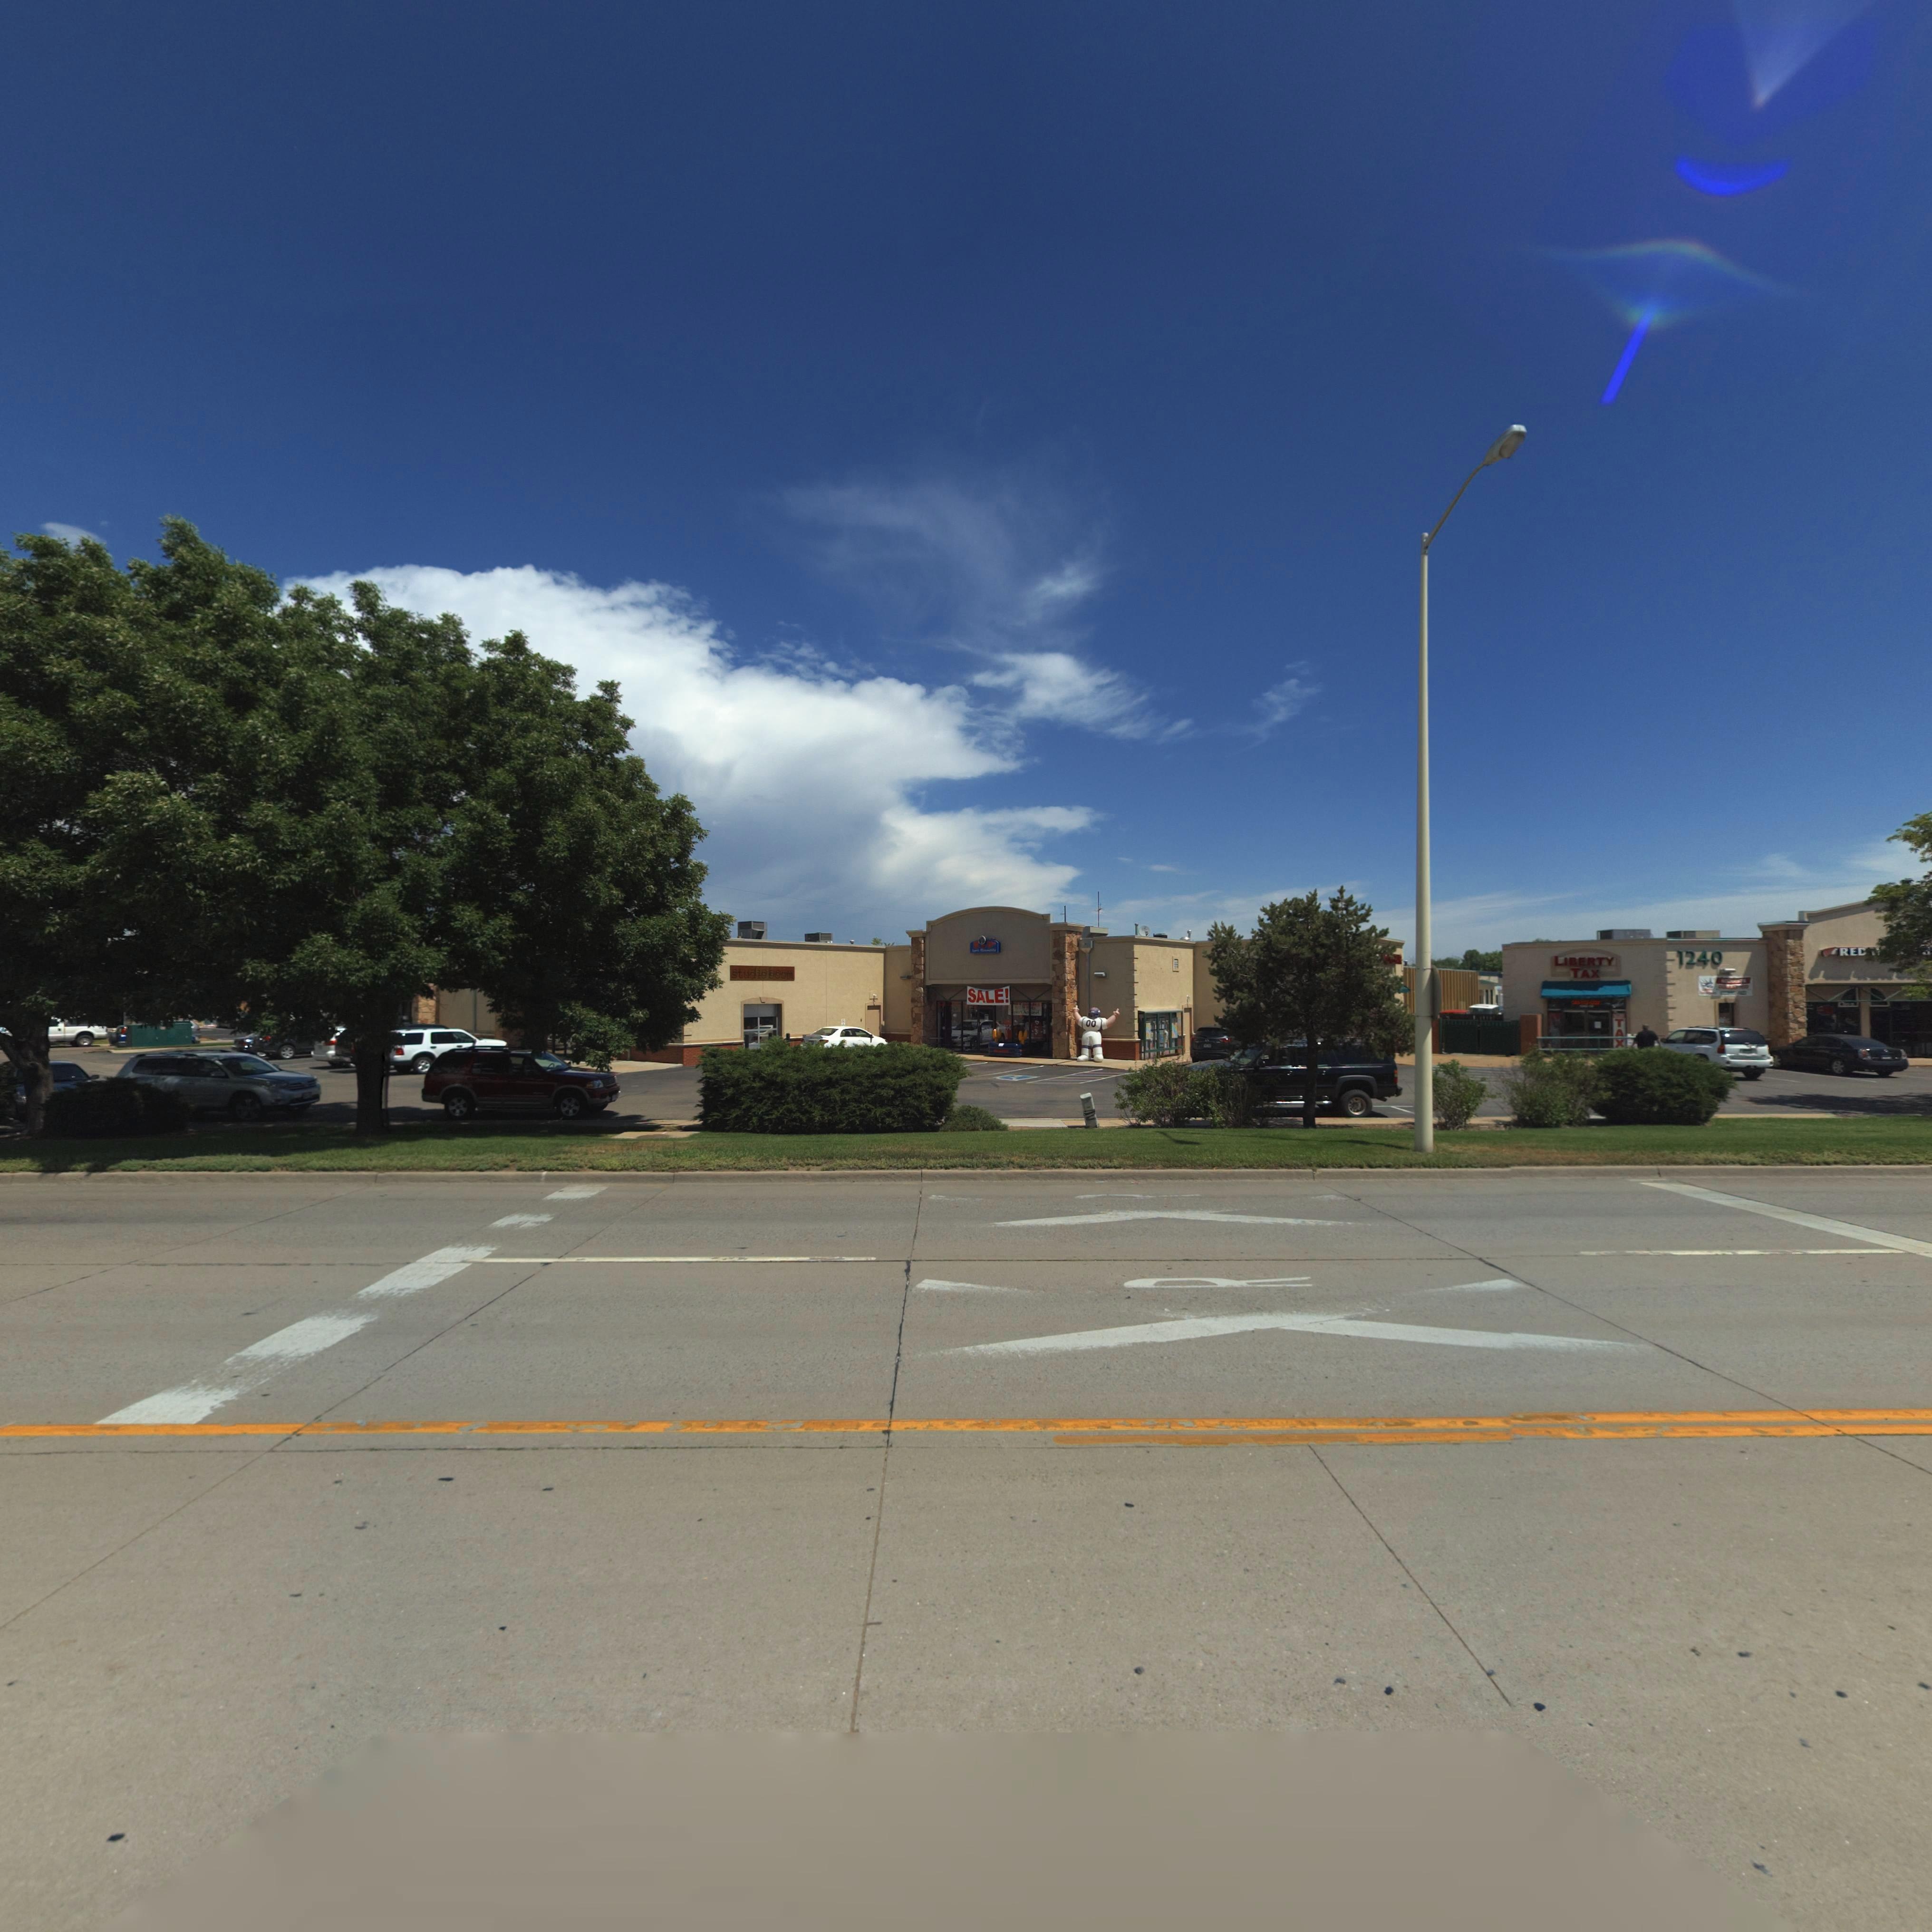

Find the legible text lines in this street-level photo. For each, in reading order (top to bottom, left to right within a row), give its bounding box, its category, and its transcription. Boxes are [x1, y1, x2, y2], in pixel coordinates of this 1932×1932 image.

[987, 940, 994, 947] BusinessName: D
[1839, 947, 1867, 956] BusinessName: RE*
[1554, 955, 1615, 966] BusinessName: LIBERTY
[1677, 950, 1723, 966] StreetNumber: 1240
[1570, 967, 1600, 978] BusinessName: TAX